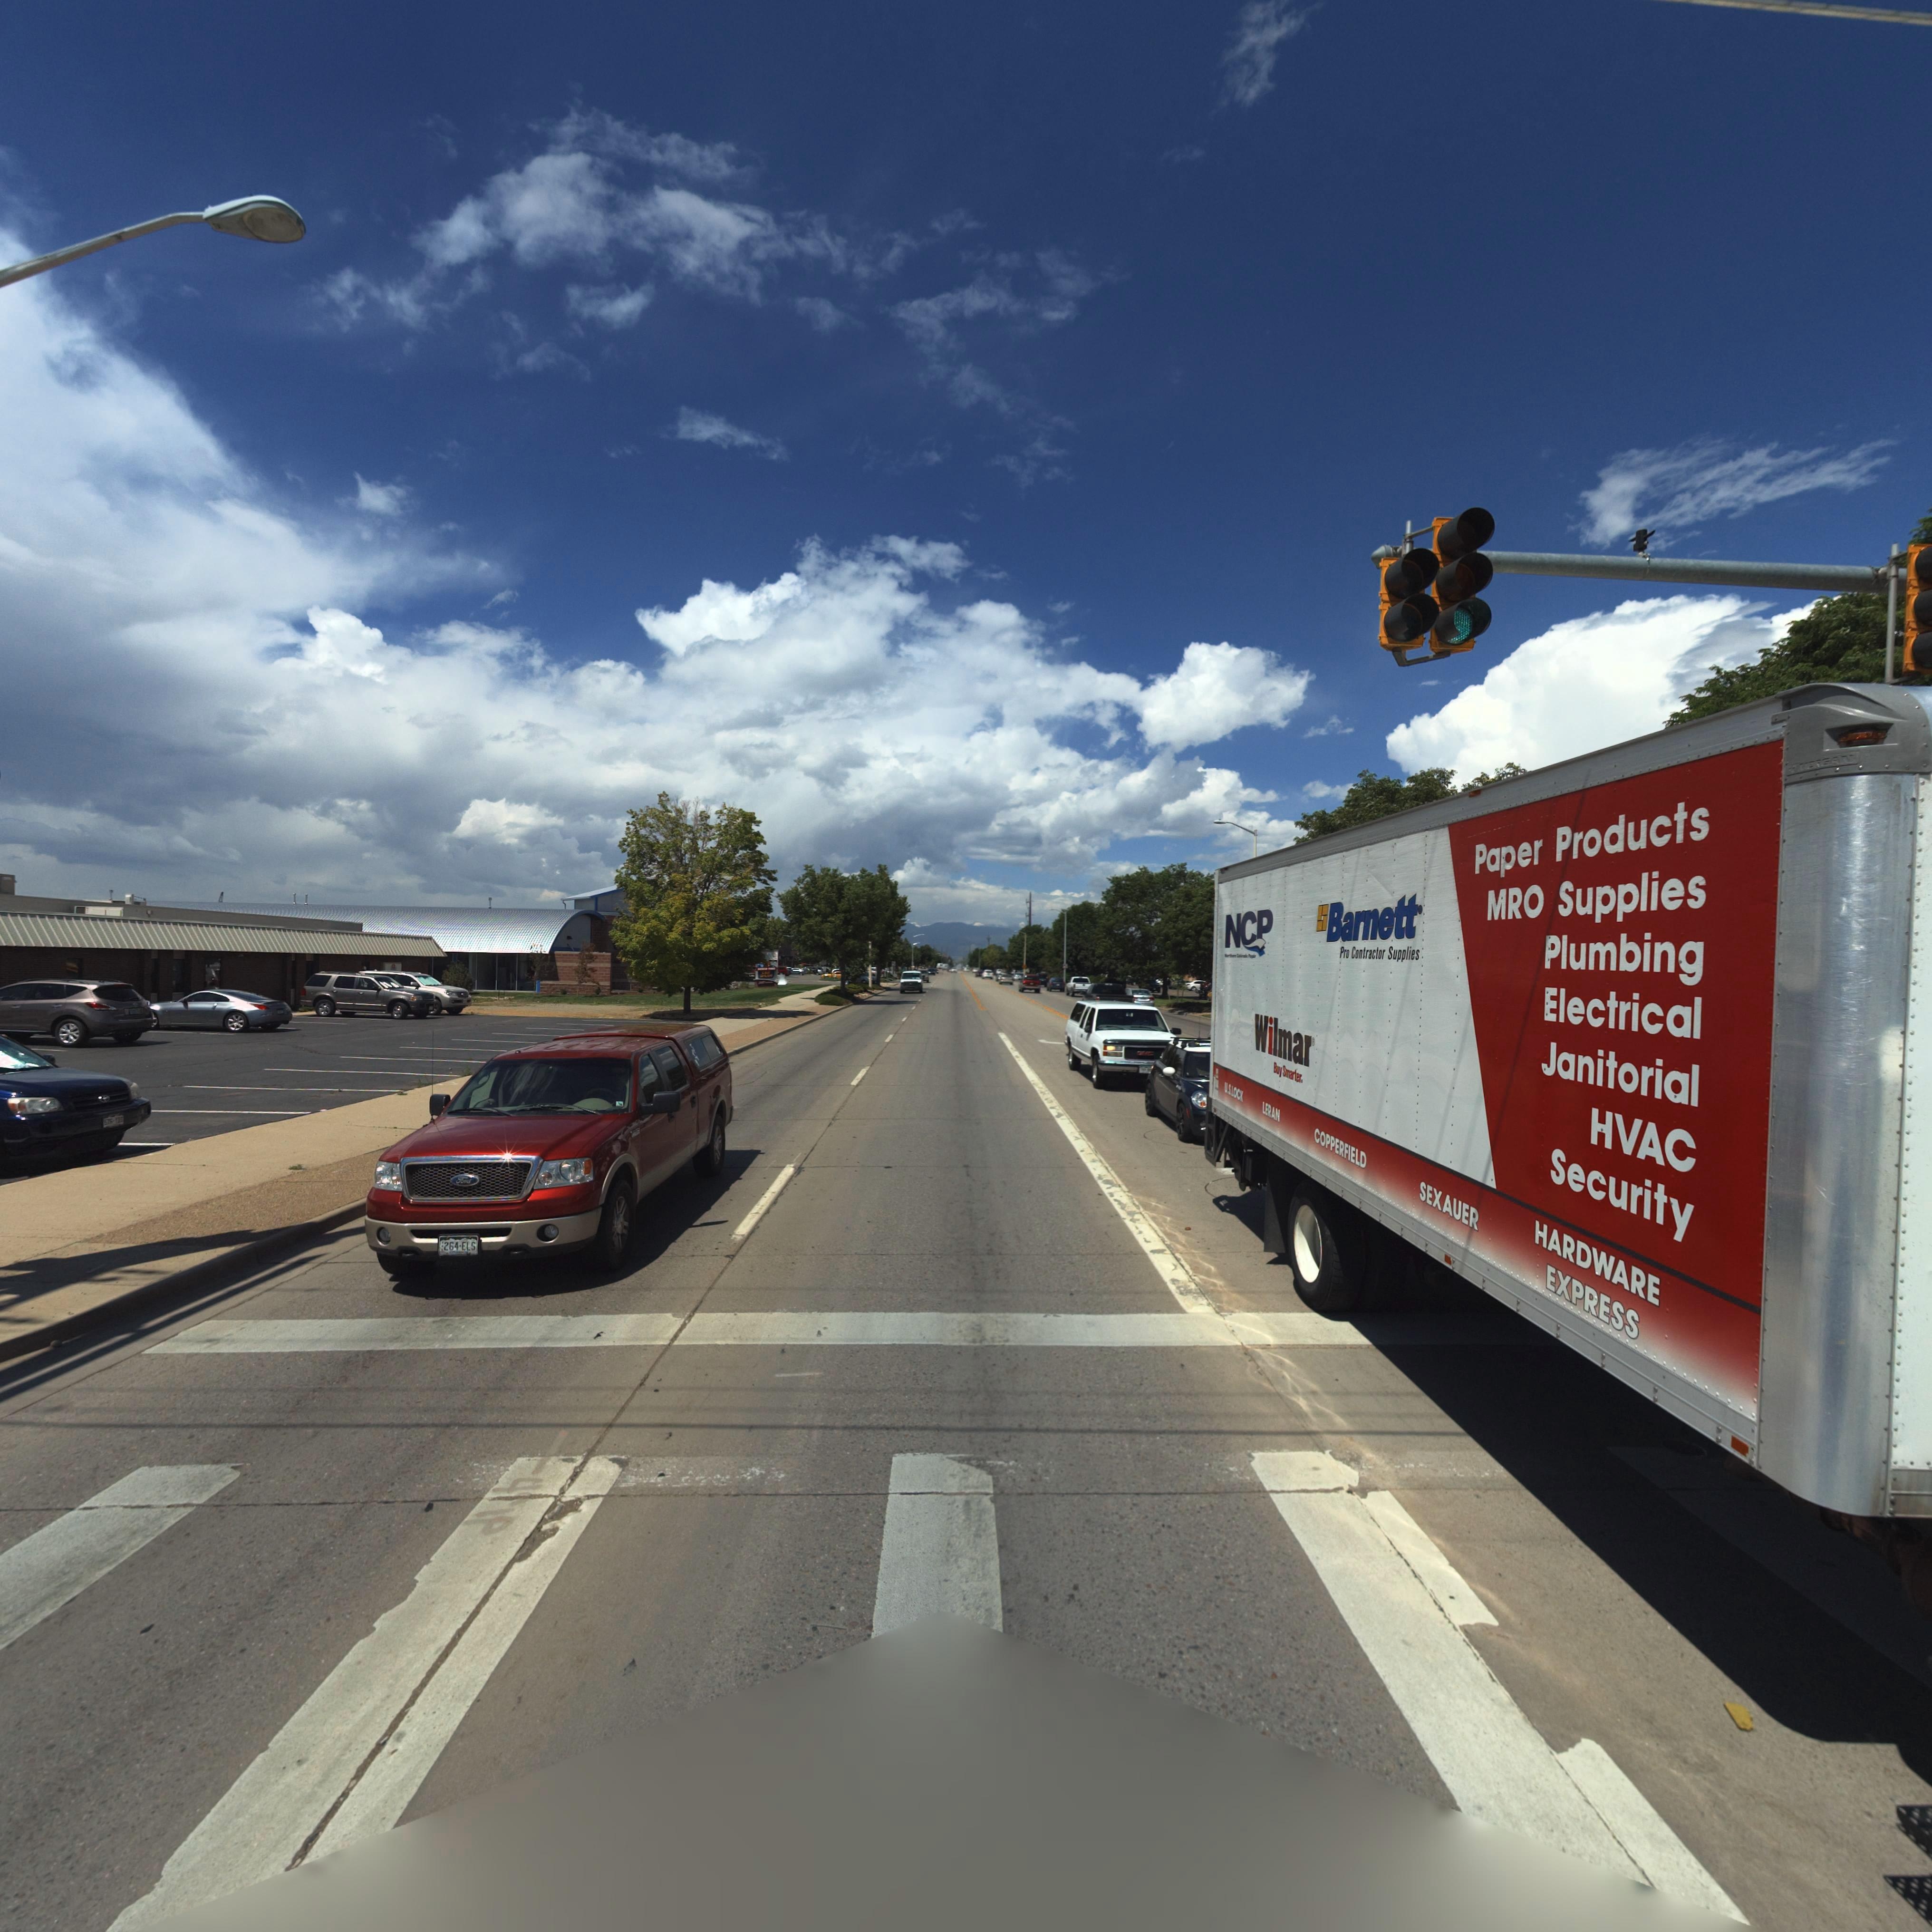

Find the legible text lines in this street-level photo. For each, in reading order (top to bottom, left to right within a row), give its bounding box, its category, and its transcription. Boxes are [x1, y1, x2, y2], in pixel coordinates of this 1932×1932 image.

[761, 970, 771, 974] BusinessName: CAR
[759, 974, 773, 978] BusinessName: WA**